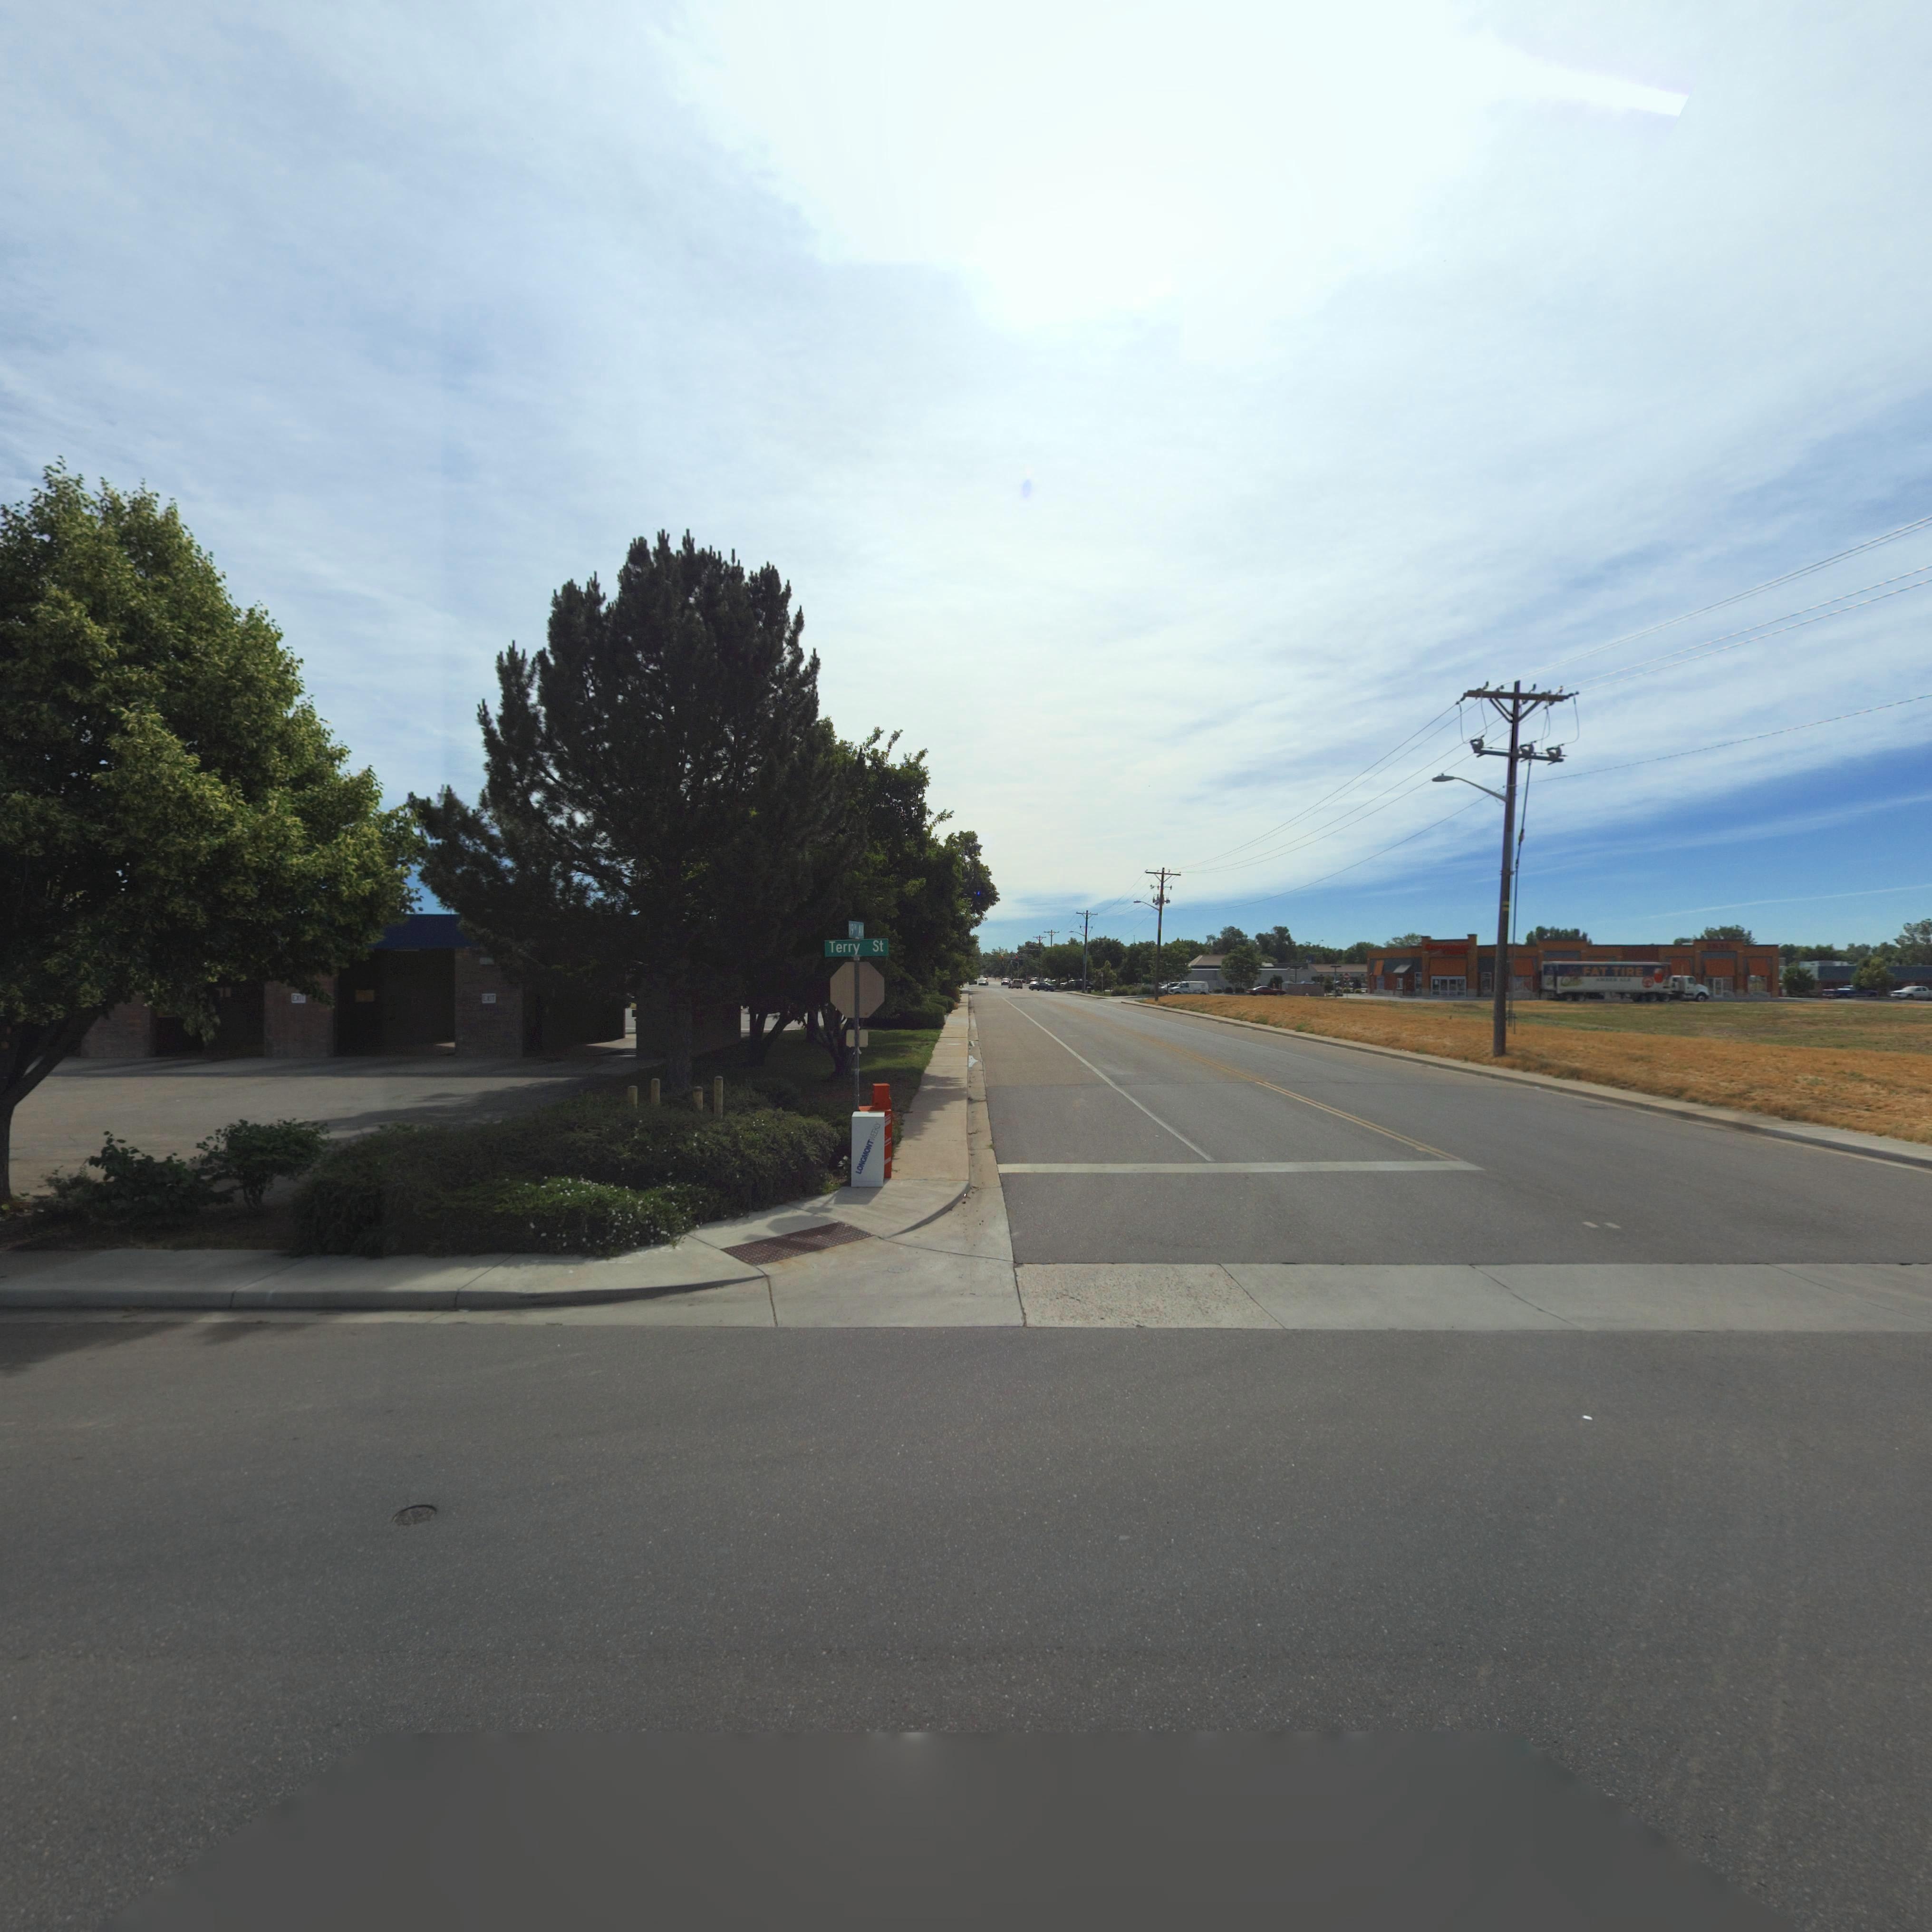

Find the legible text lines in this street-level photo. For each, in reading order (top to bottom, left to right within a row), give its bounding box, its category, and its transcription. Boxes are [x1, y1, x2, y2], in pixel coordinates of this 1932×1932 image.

[848, 922, 865, 937] StreetName: 19*H AV
[828, 939, 885, 956] StreetName: Terry St